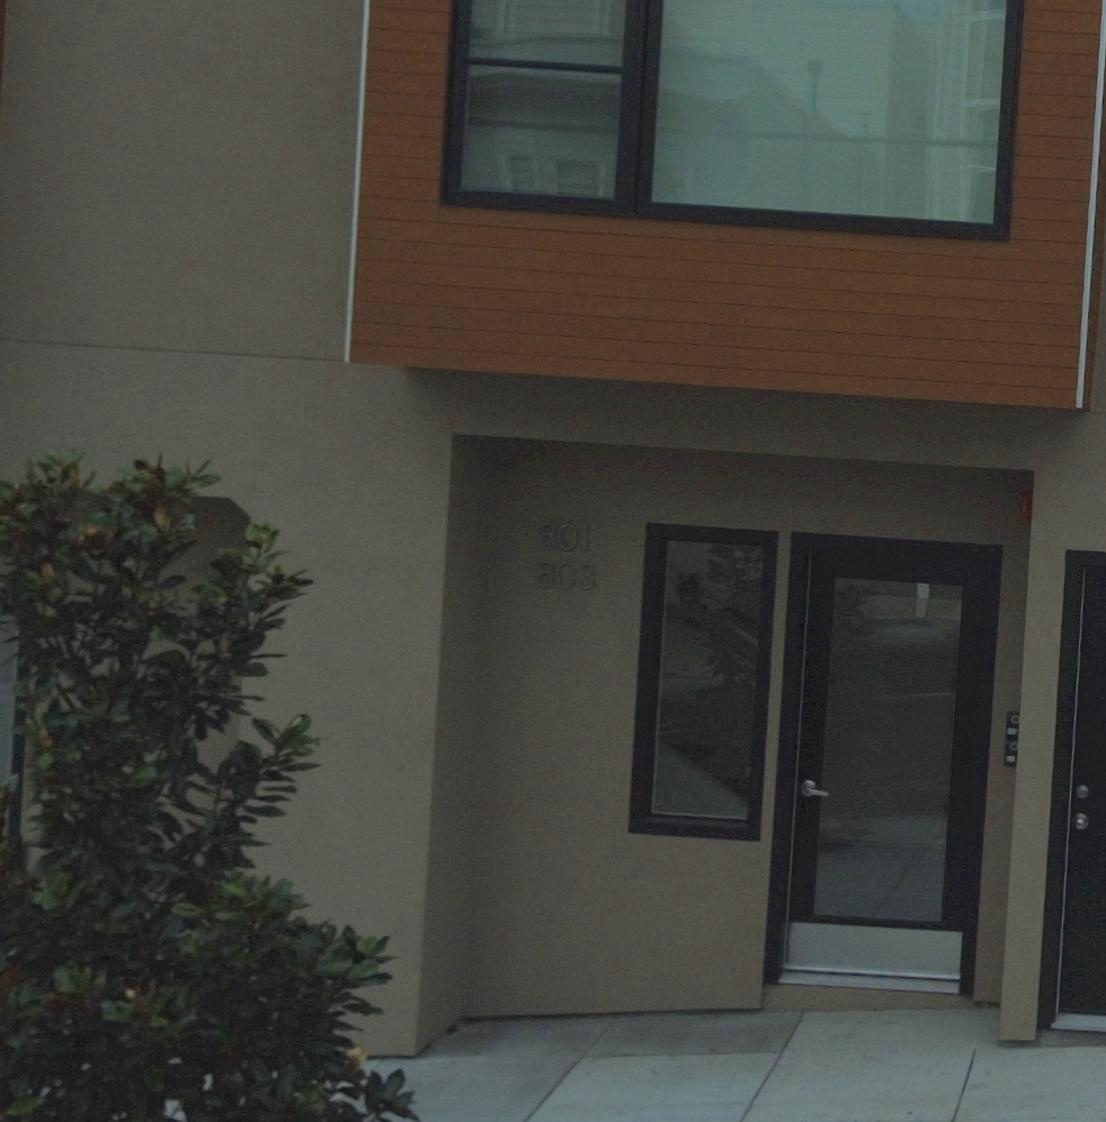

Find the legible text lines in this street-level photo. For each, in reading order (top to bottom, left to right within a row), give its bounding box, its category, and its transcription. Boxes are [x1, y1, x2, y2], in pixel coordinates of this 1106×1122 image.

[535, 520, 591, 554] StreetNumber: 801
[537, 558, 595, 591] StreetNumber: 803